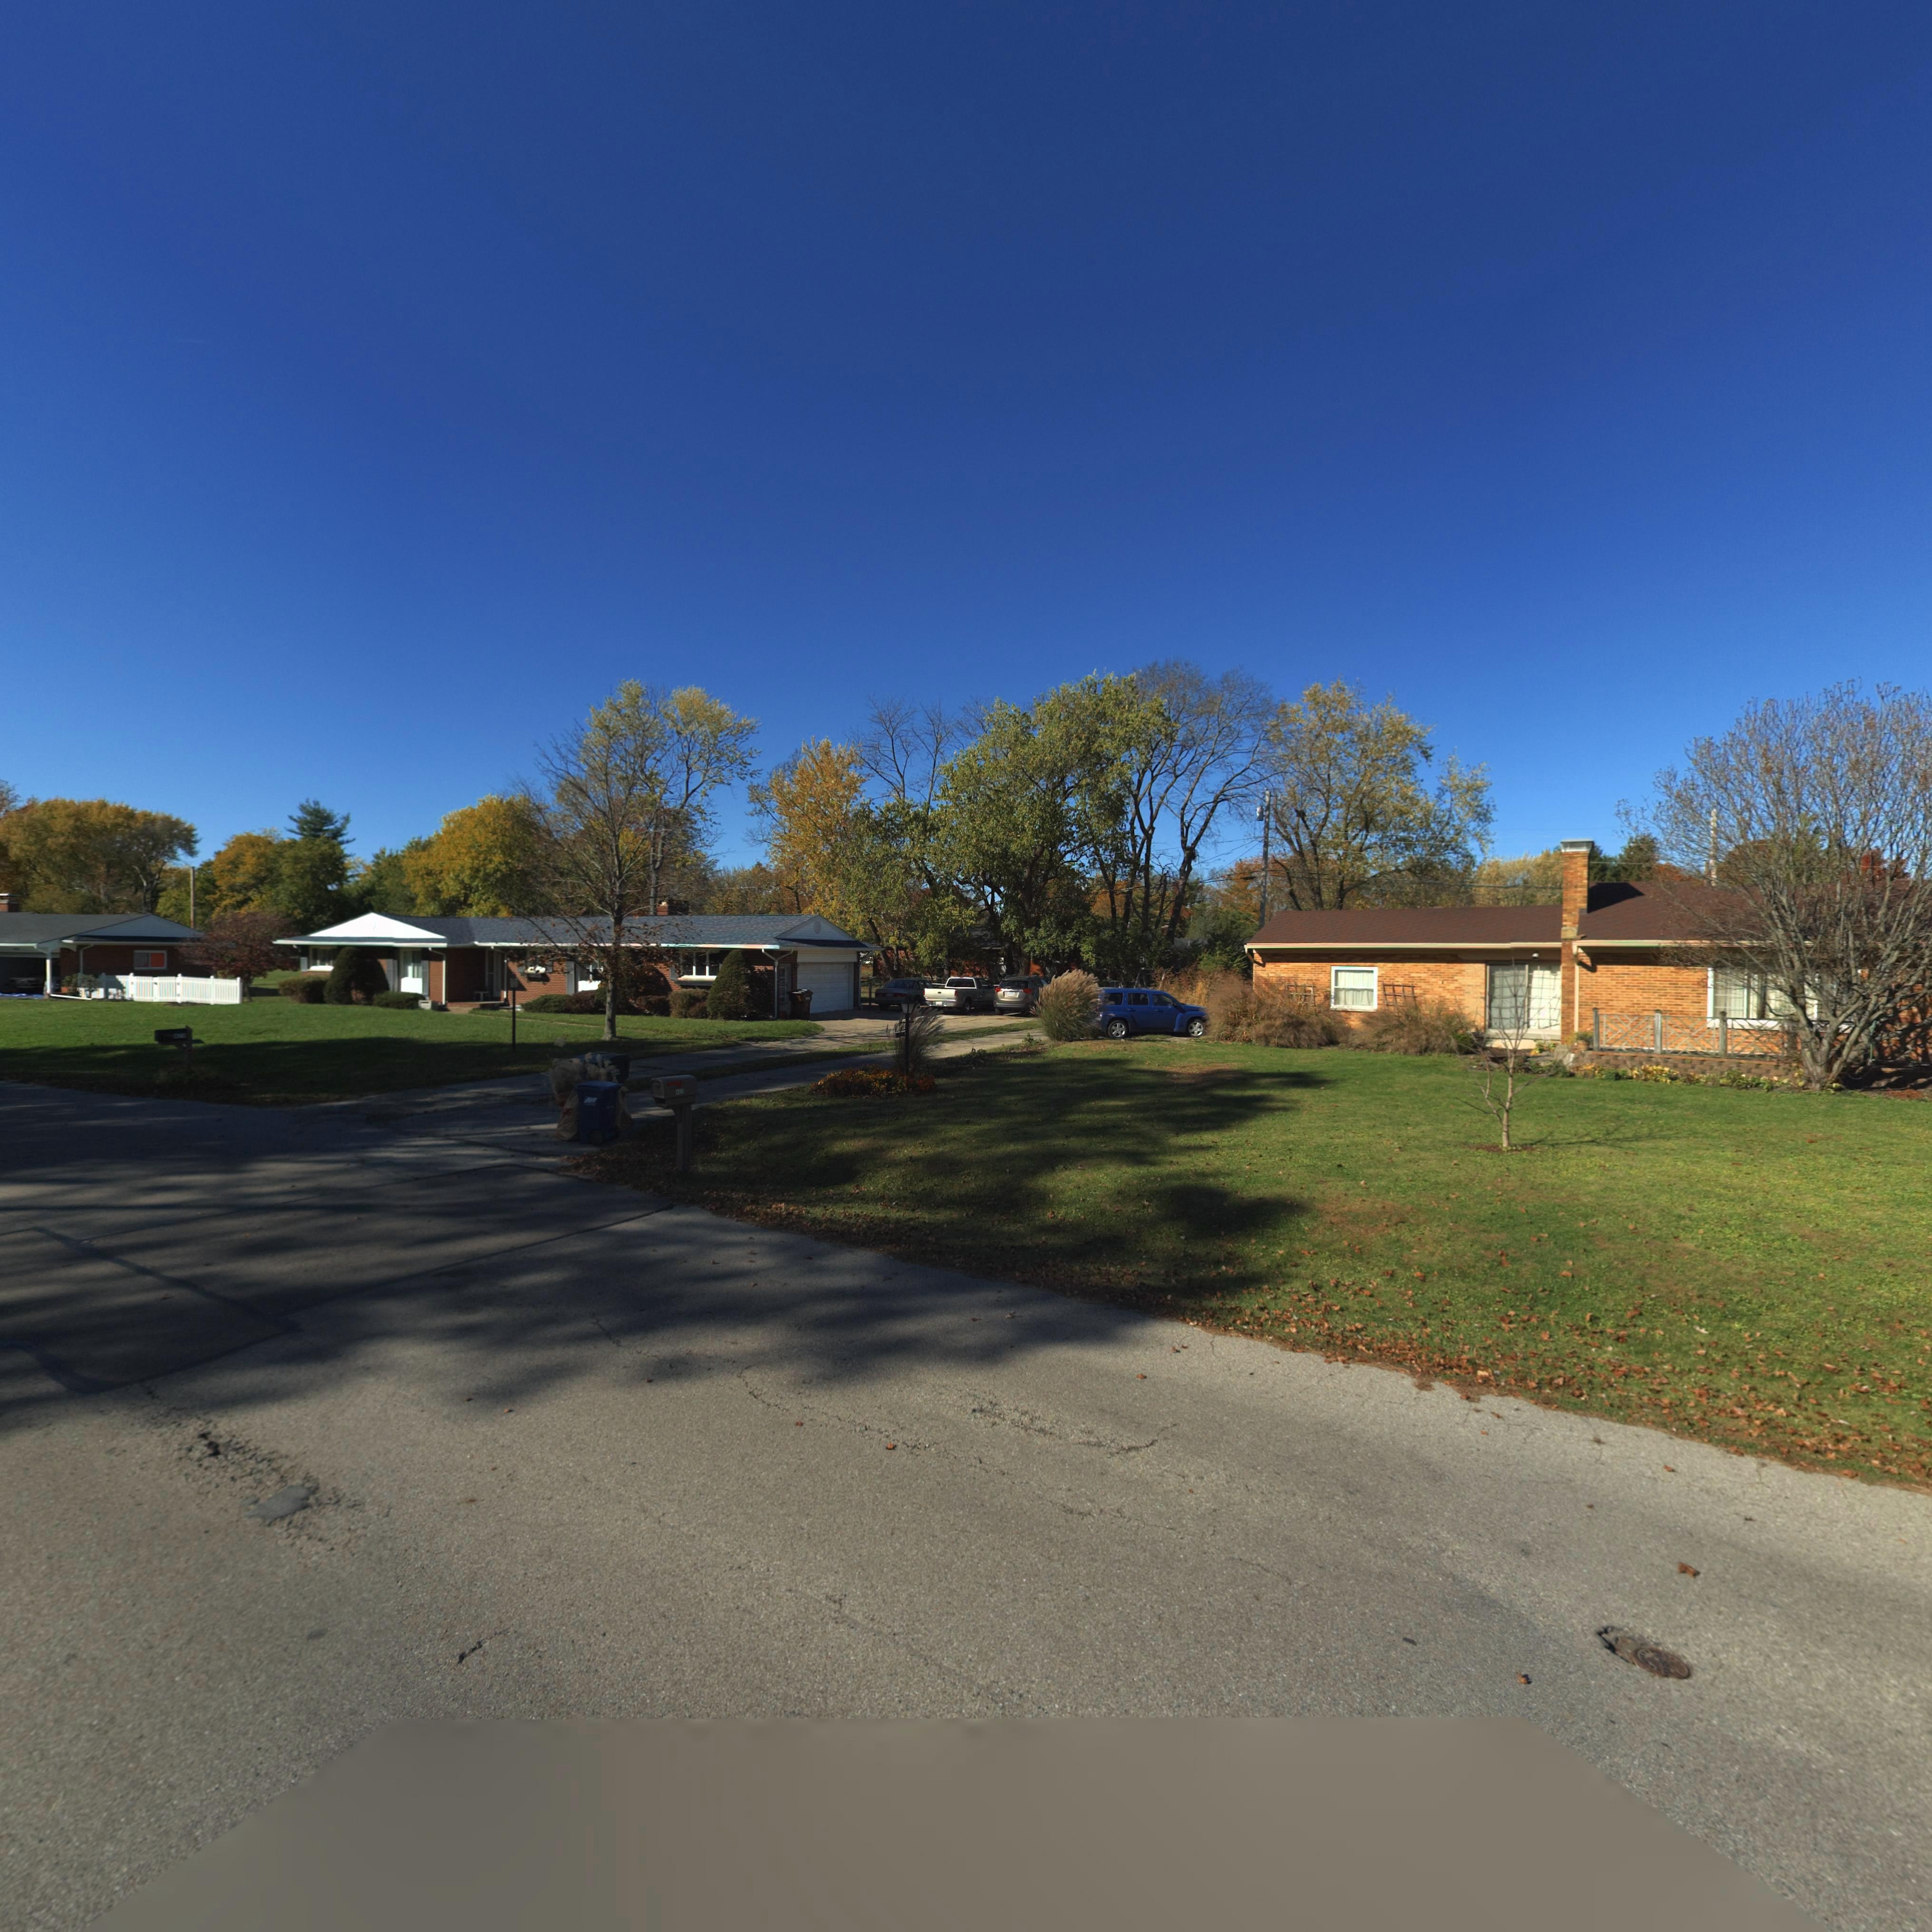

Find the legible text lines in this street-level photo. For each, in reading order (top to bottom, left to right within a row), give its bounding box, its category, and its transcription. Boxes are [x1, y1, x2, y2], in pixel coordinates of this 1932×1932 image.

[174, 1033, 186, 1039] StreetNumber: 4**
[676, 1088, 684, 1095] StreetNumber: 4*5